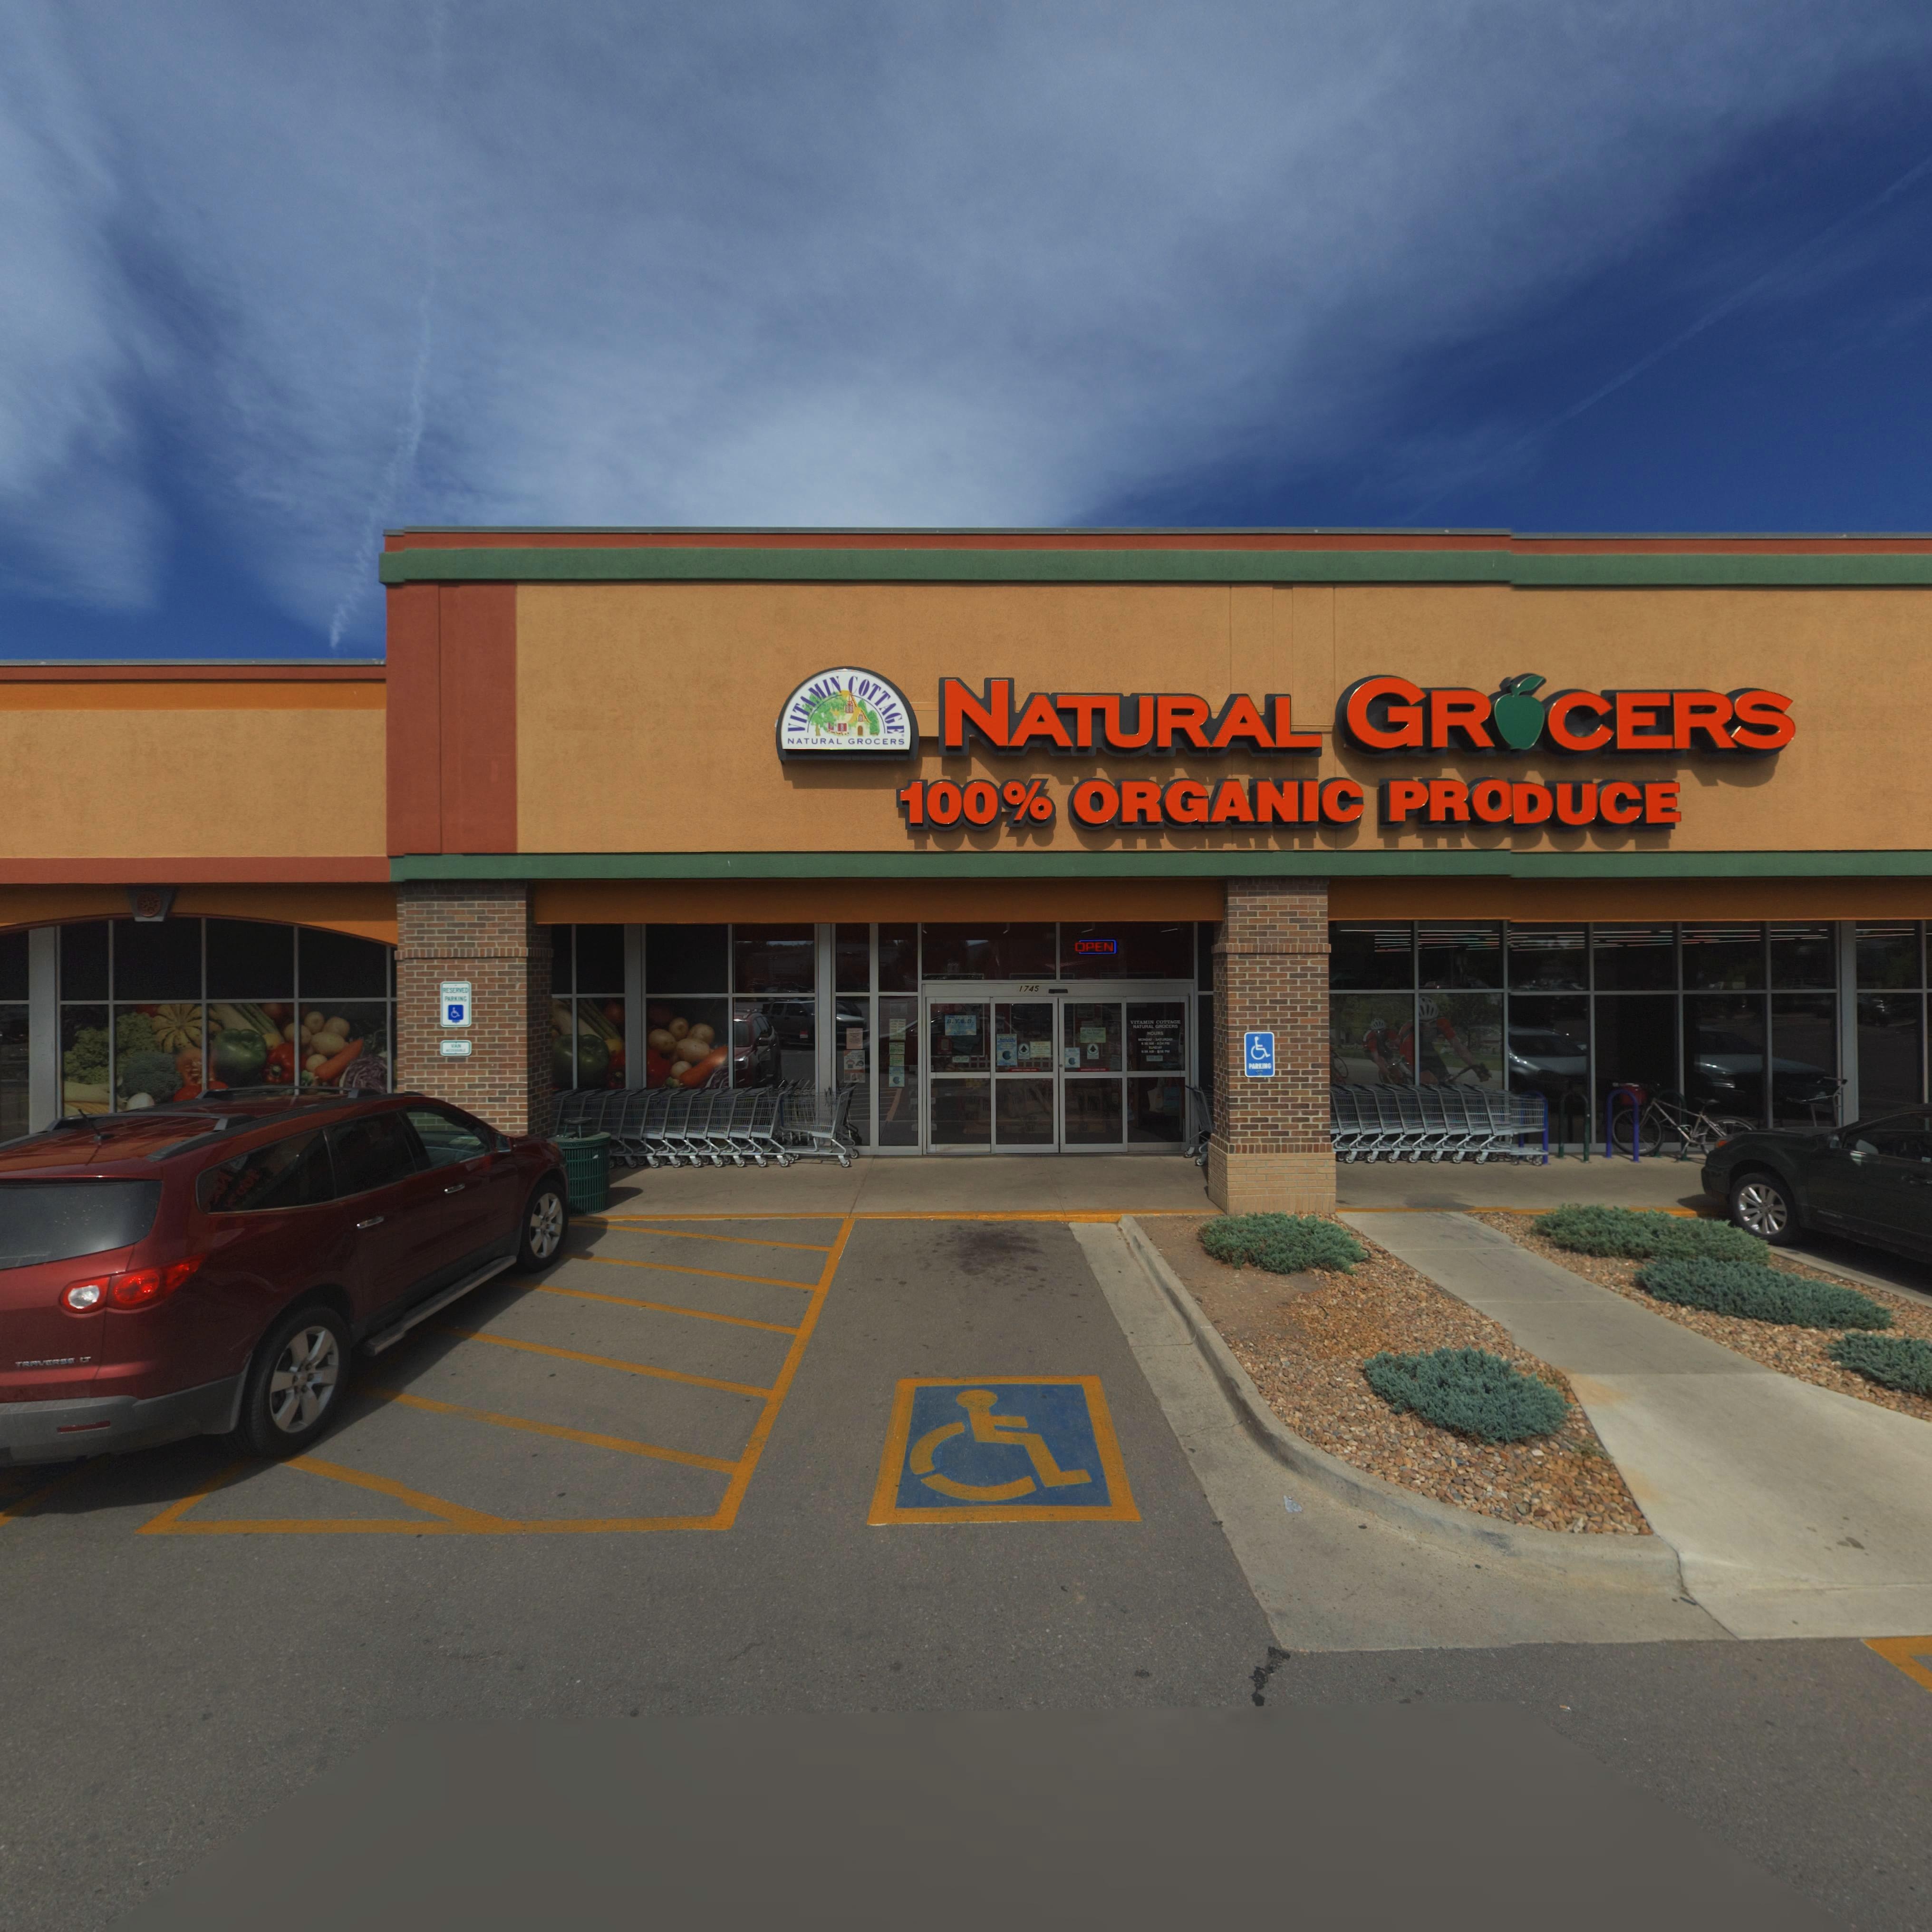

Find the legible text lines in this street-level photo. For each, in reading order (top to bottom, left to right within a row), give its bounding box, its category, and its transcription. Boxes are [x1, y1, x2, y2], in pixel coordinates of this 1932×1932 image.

[786, 674, 905, 734] BusinessName: VITAMIN COTTAGE
[942, 672, 1799, 752] BusinessName: NATURAL GR*CERS
[787, 737, 905, 745] BusinessName: NATURAL GROCERS
[896, 777, 1682, 826] BusinessName: 100% ORGANIC PRODUCE
[1018, 985, 1040, 992] StreetNumber: 1745
[1130, 1020, 1180, 1024] BusinessName: VITAMIN COTTAGE
[1132, 1024, 1178, 1029] BusinessName: NATURAL GROCERS